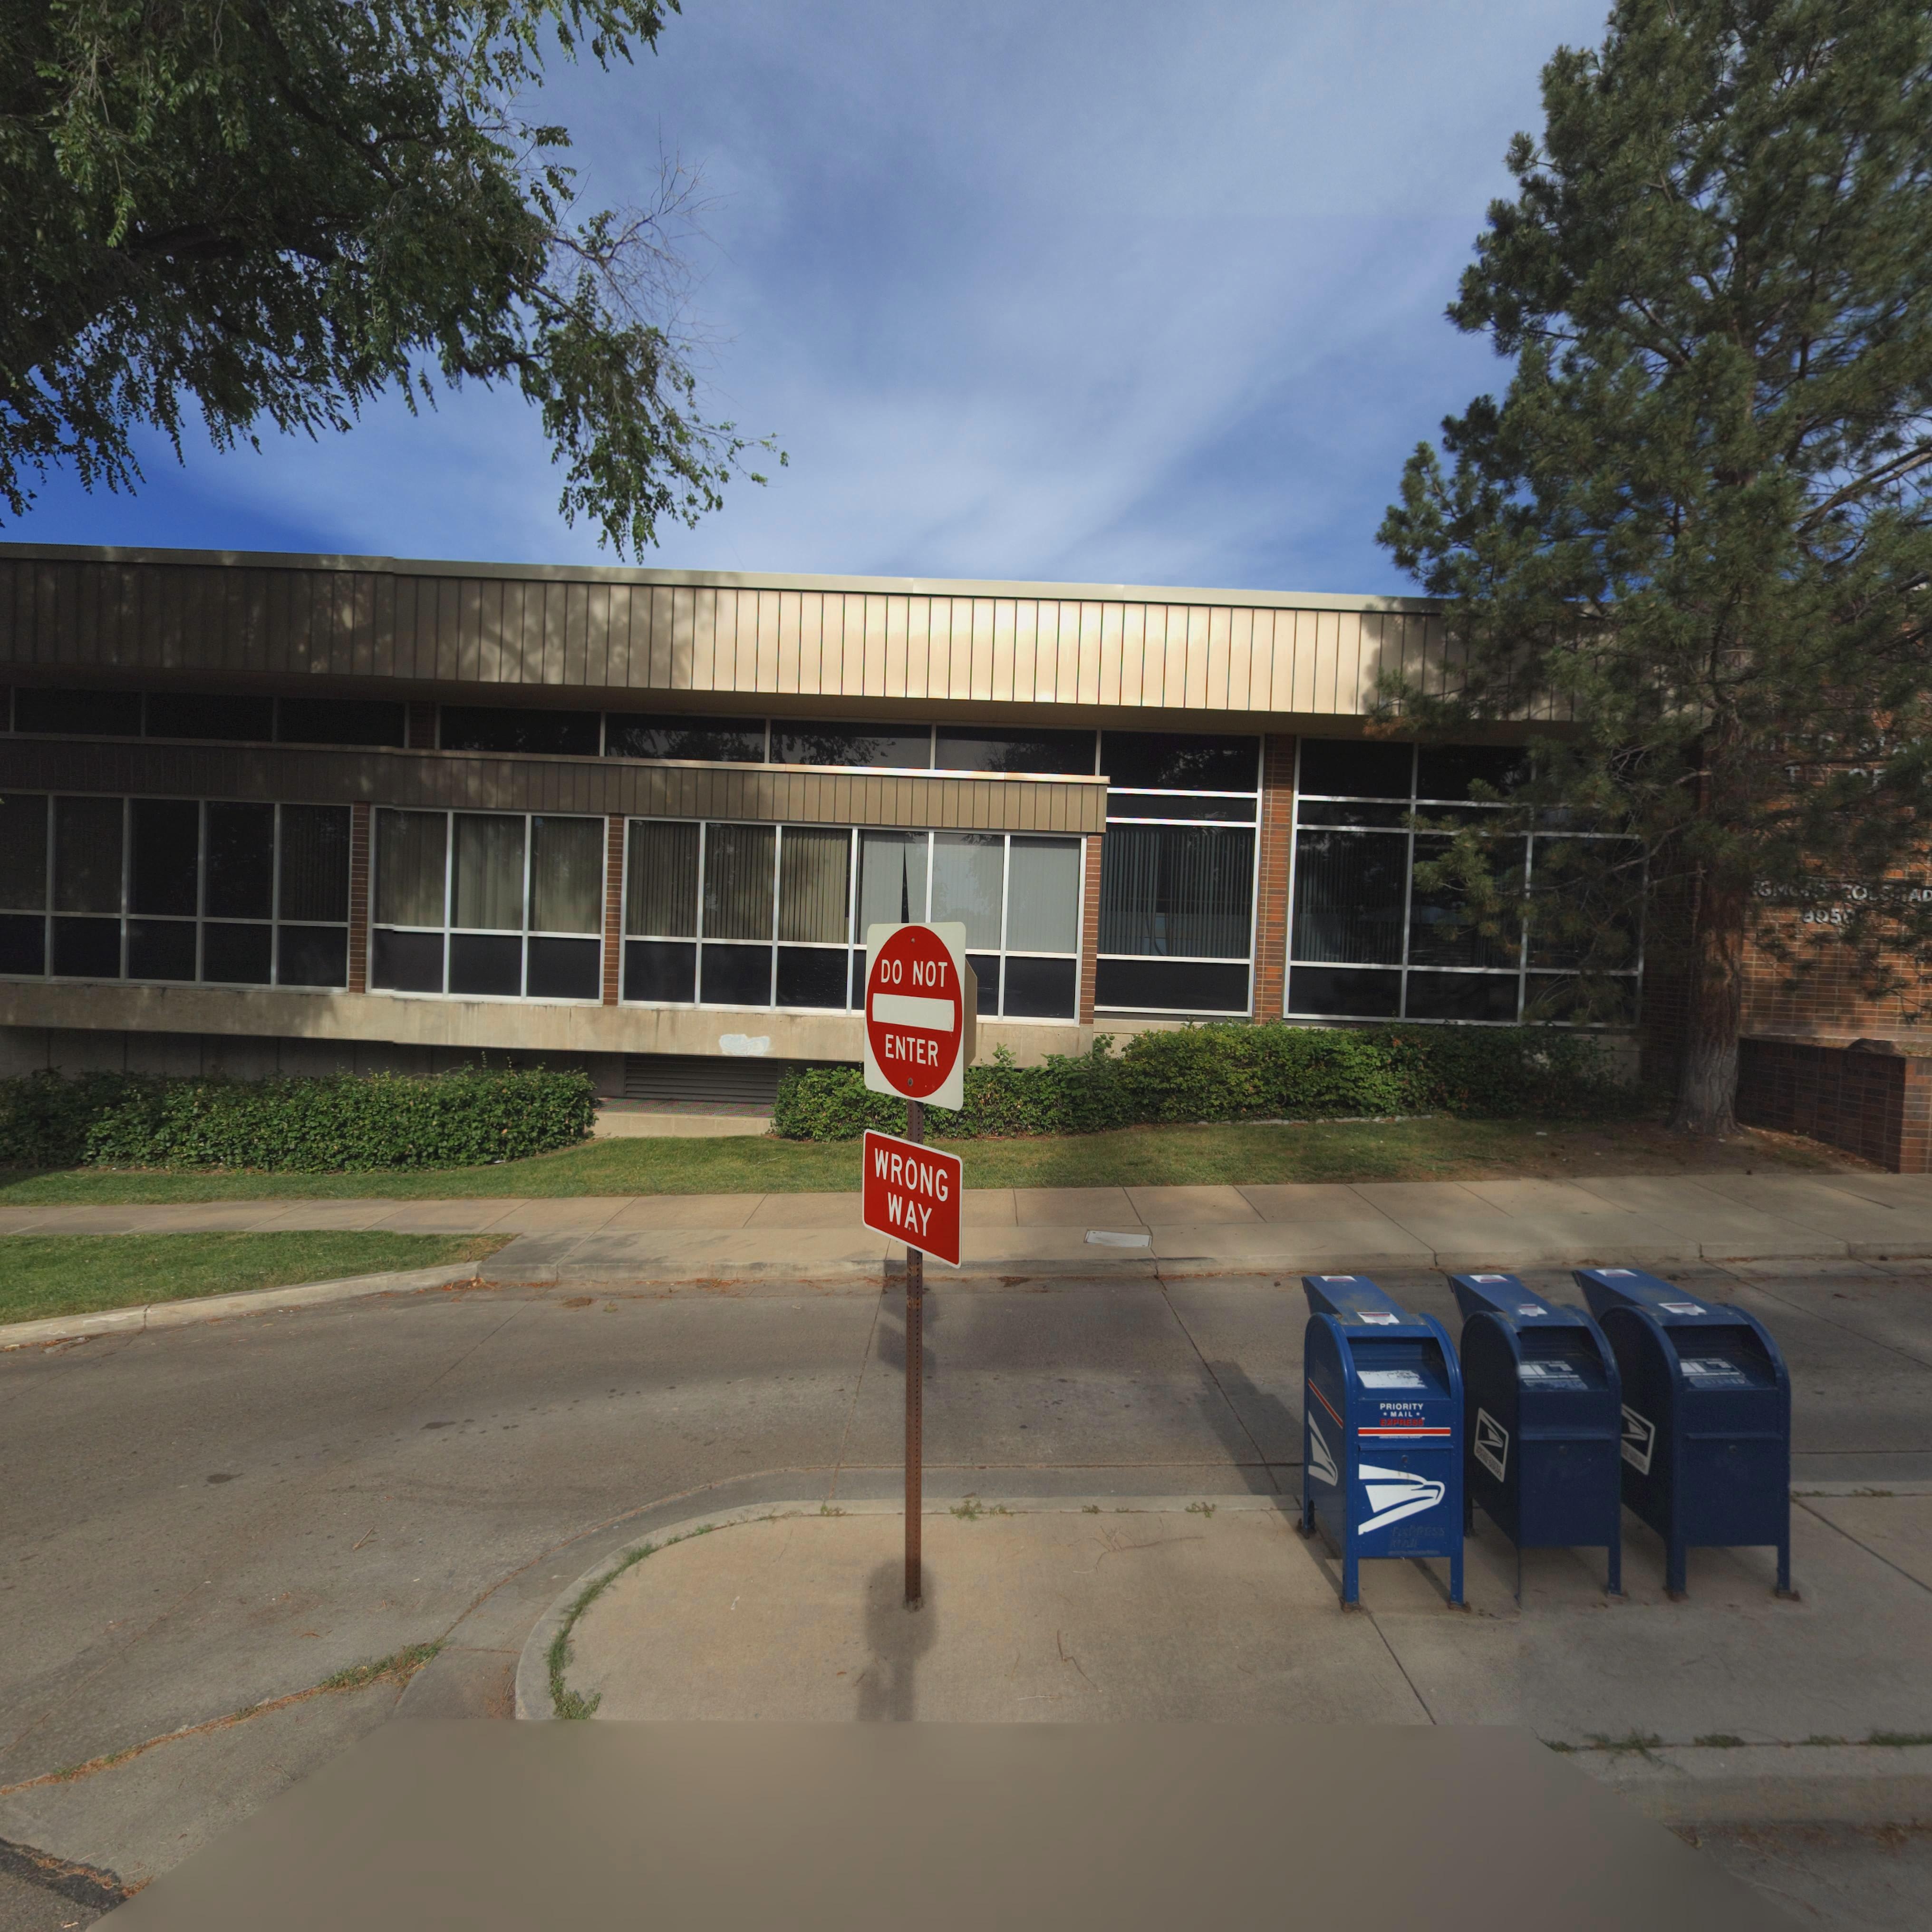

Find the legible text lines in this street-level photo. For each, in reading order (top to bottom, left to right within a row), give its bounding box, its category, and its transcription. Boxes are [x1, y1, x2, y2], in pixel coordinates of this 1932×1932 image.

[1800, 903, 1864, 924] StreetNumber: 3050